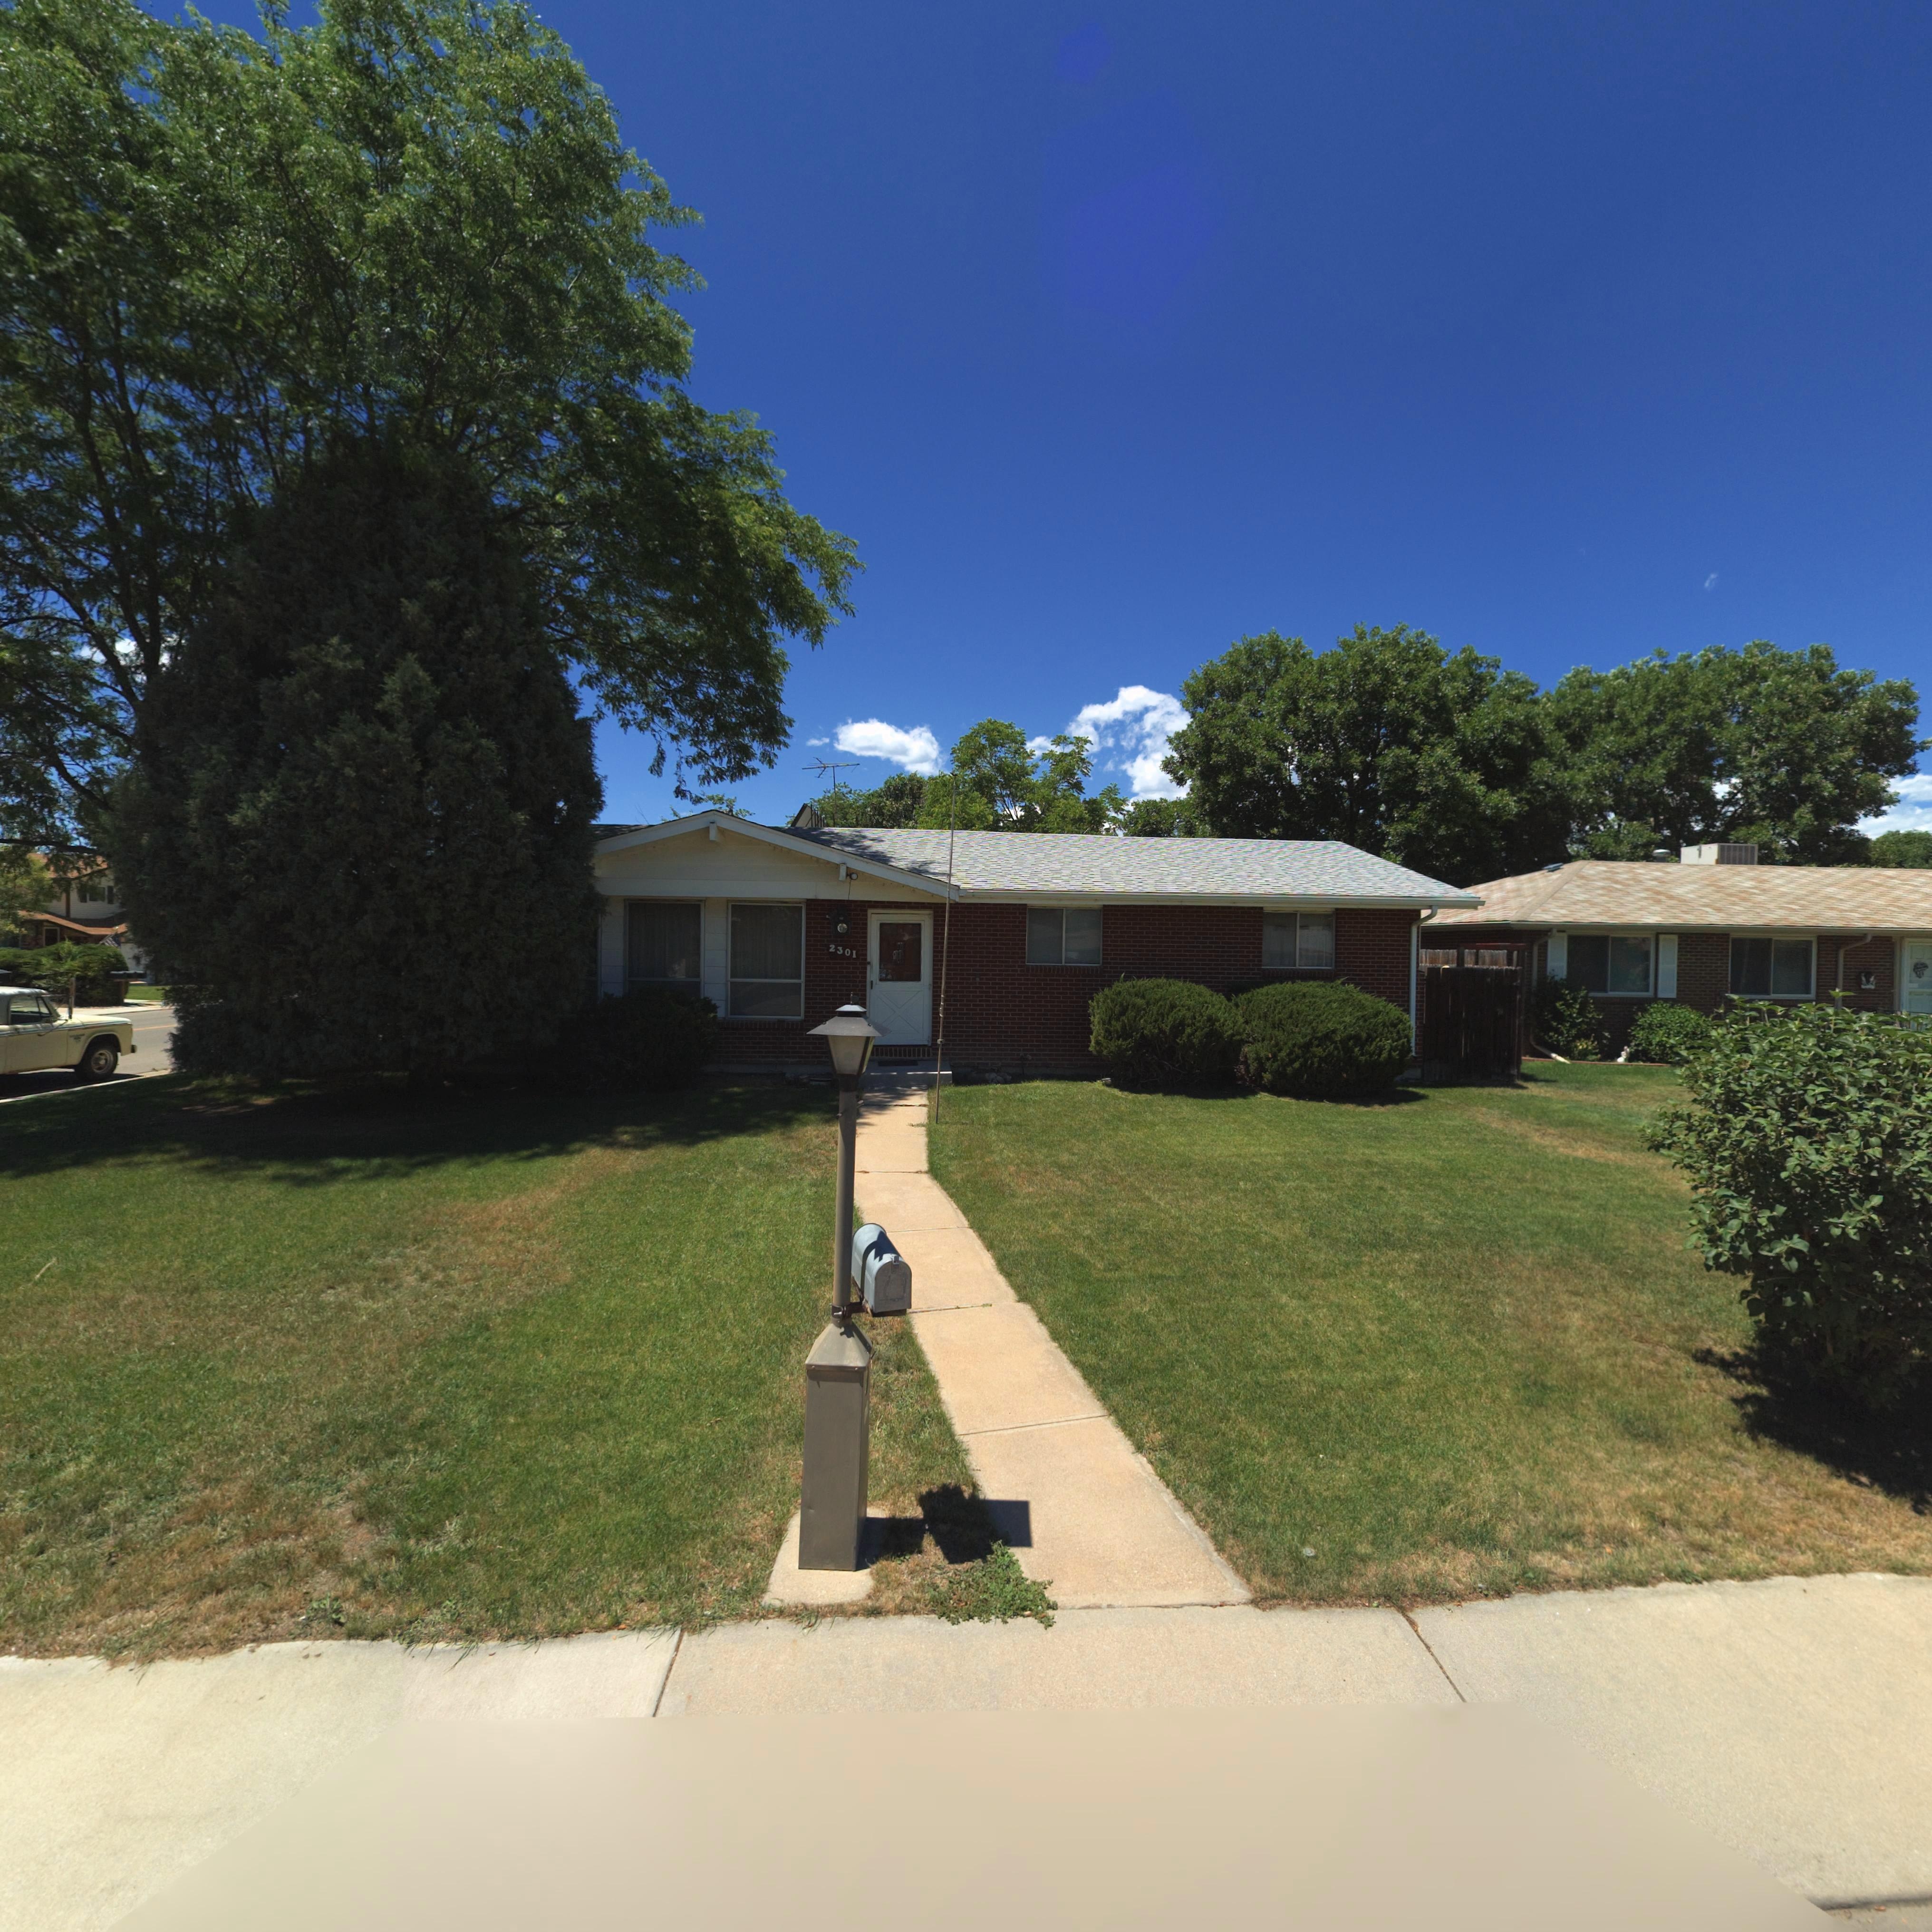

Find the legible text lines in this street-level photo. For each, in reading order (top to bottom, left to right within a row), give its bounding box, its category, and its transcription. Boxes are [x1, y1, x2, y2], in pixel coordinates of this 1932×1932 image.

[828, 943, 858, 959] StreetNumber: 2301